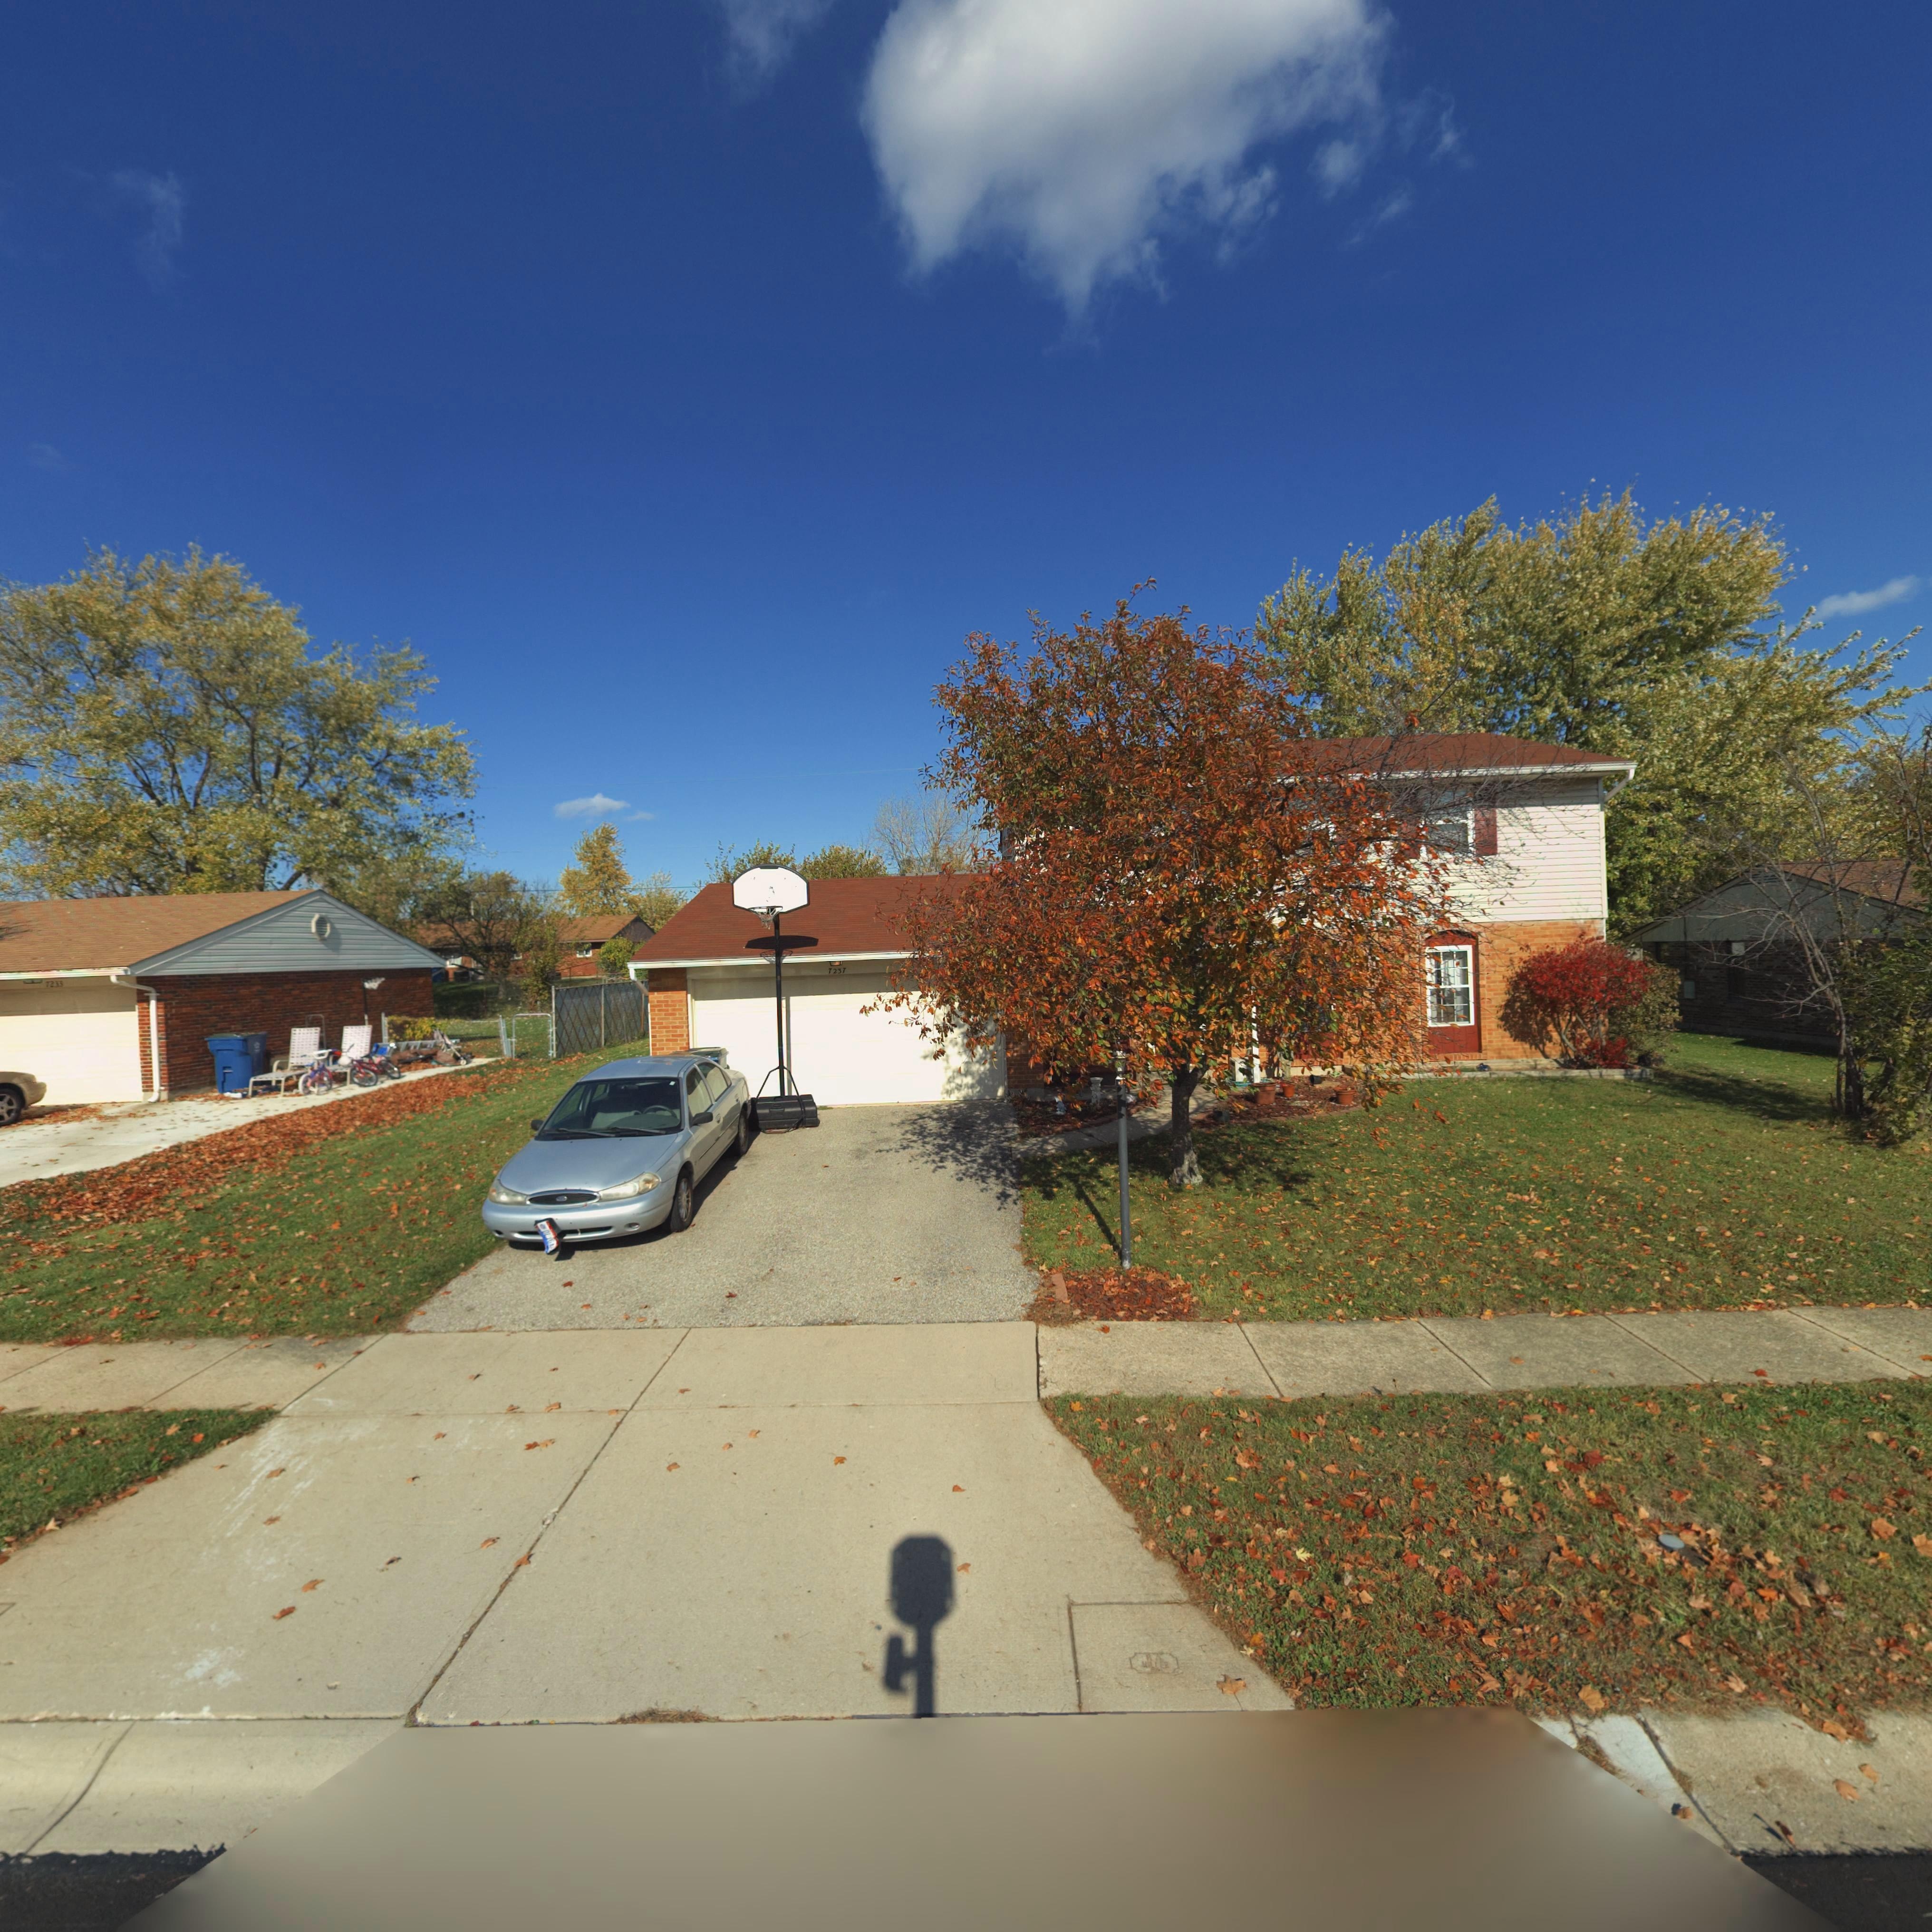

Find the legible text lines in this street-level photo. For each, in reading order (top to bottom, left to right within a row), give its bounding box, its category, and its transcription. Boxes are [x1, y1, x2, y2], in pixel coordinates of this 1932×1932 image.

[827, 966, 848, 976] StreetNumber: 7237
[44, 979, 65, 989] StreetNumber: 7233